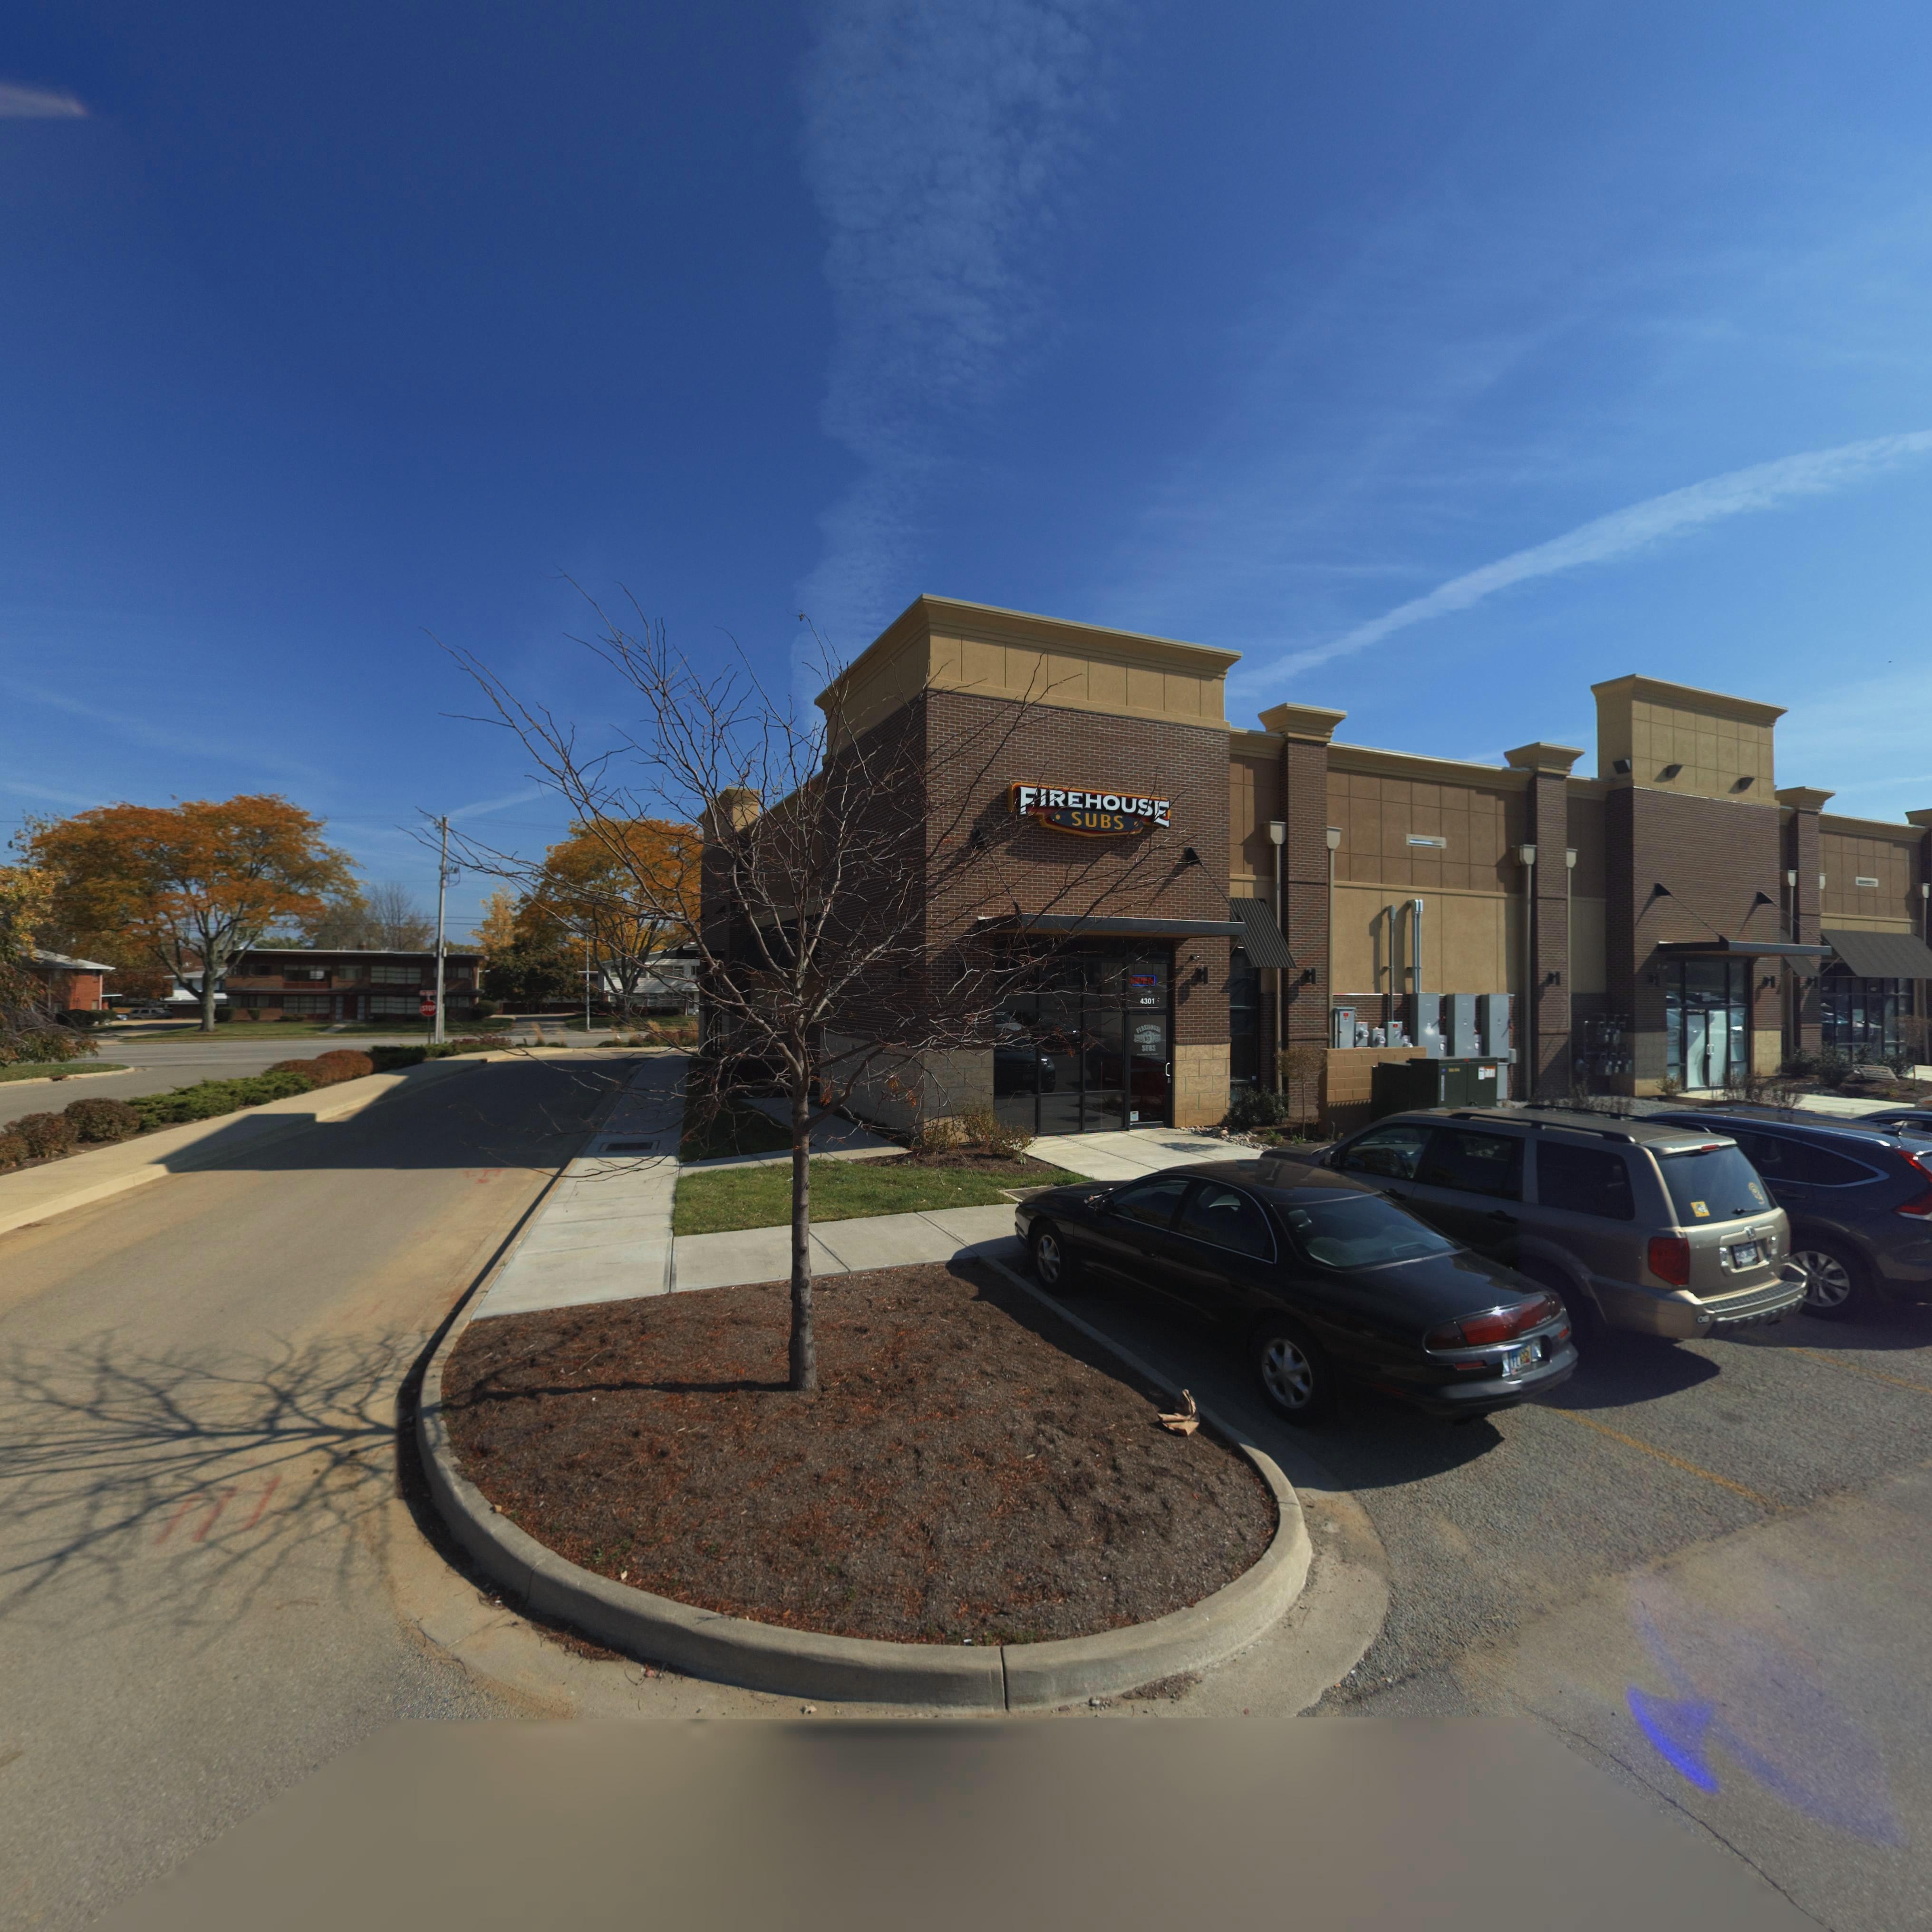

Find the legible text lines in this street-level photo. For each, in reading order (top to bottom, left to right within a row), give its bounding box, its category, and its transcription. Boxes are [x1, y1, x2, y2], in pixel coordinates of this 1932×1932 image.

[1017, 784, 1171, 828] BusinessName: FIREHOUSE
[1070, 810, 1126, 831] BusinessName: SUBS
[1139, 996, 1155, 1005] StreetNumber: 4301
[1140, 1043, 1157, 1053] BusinessName: SUBS